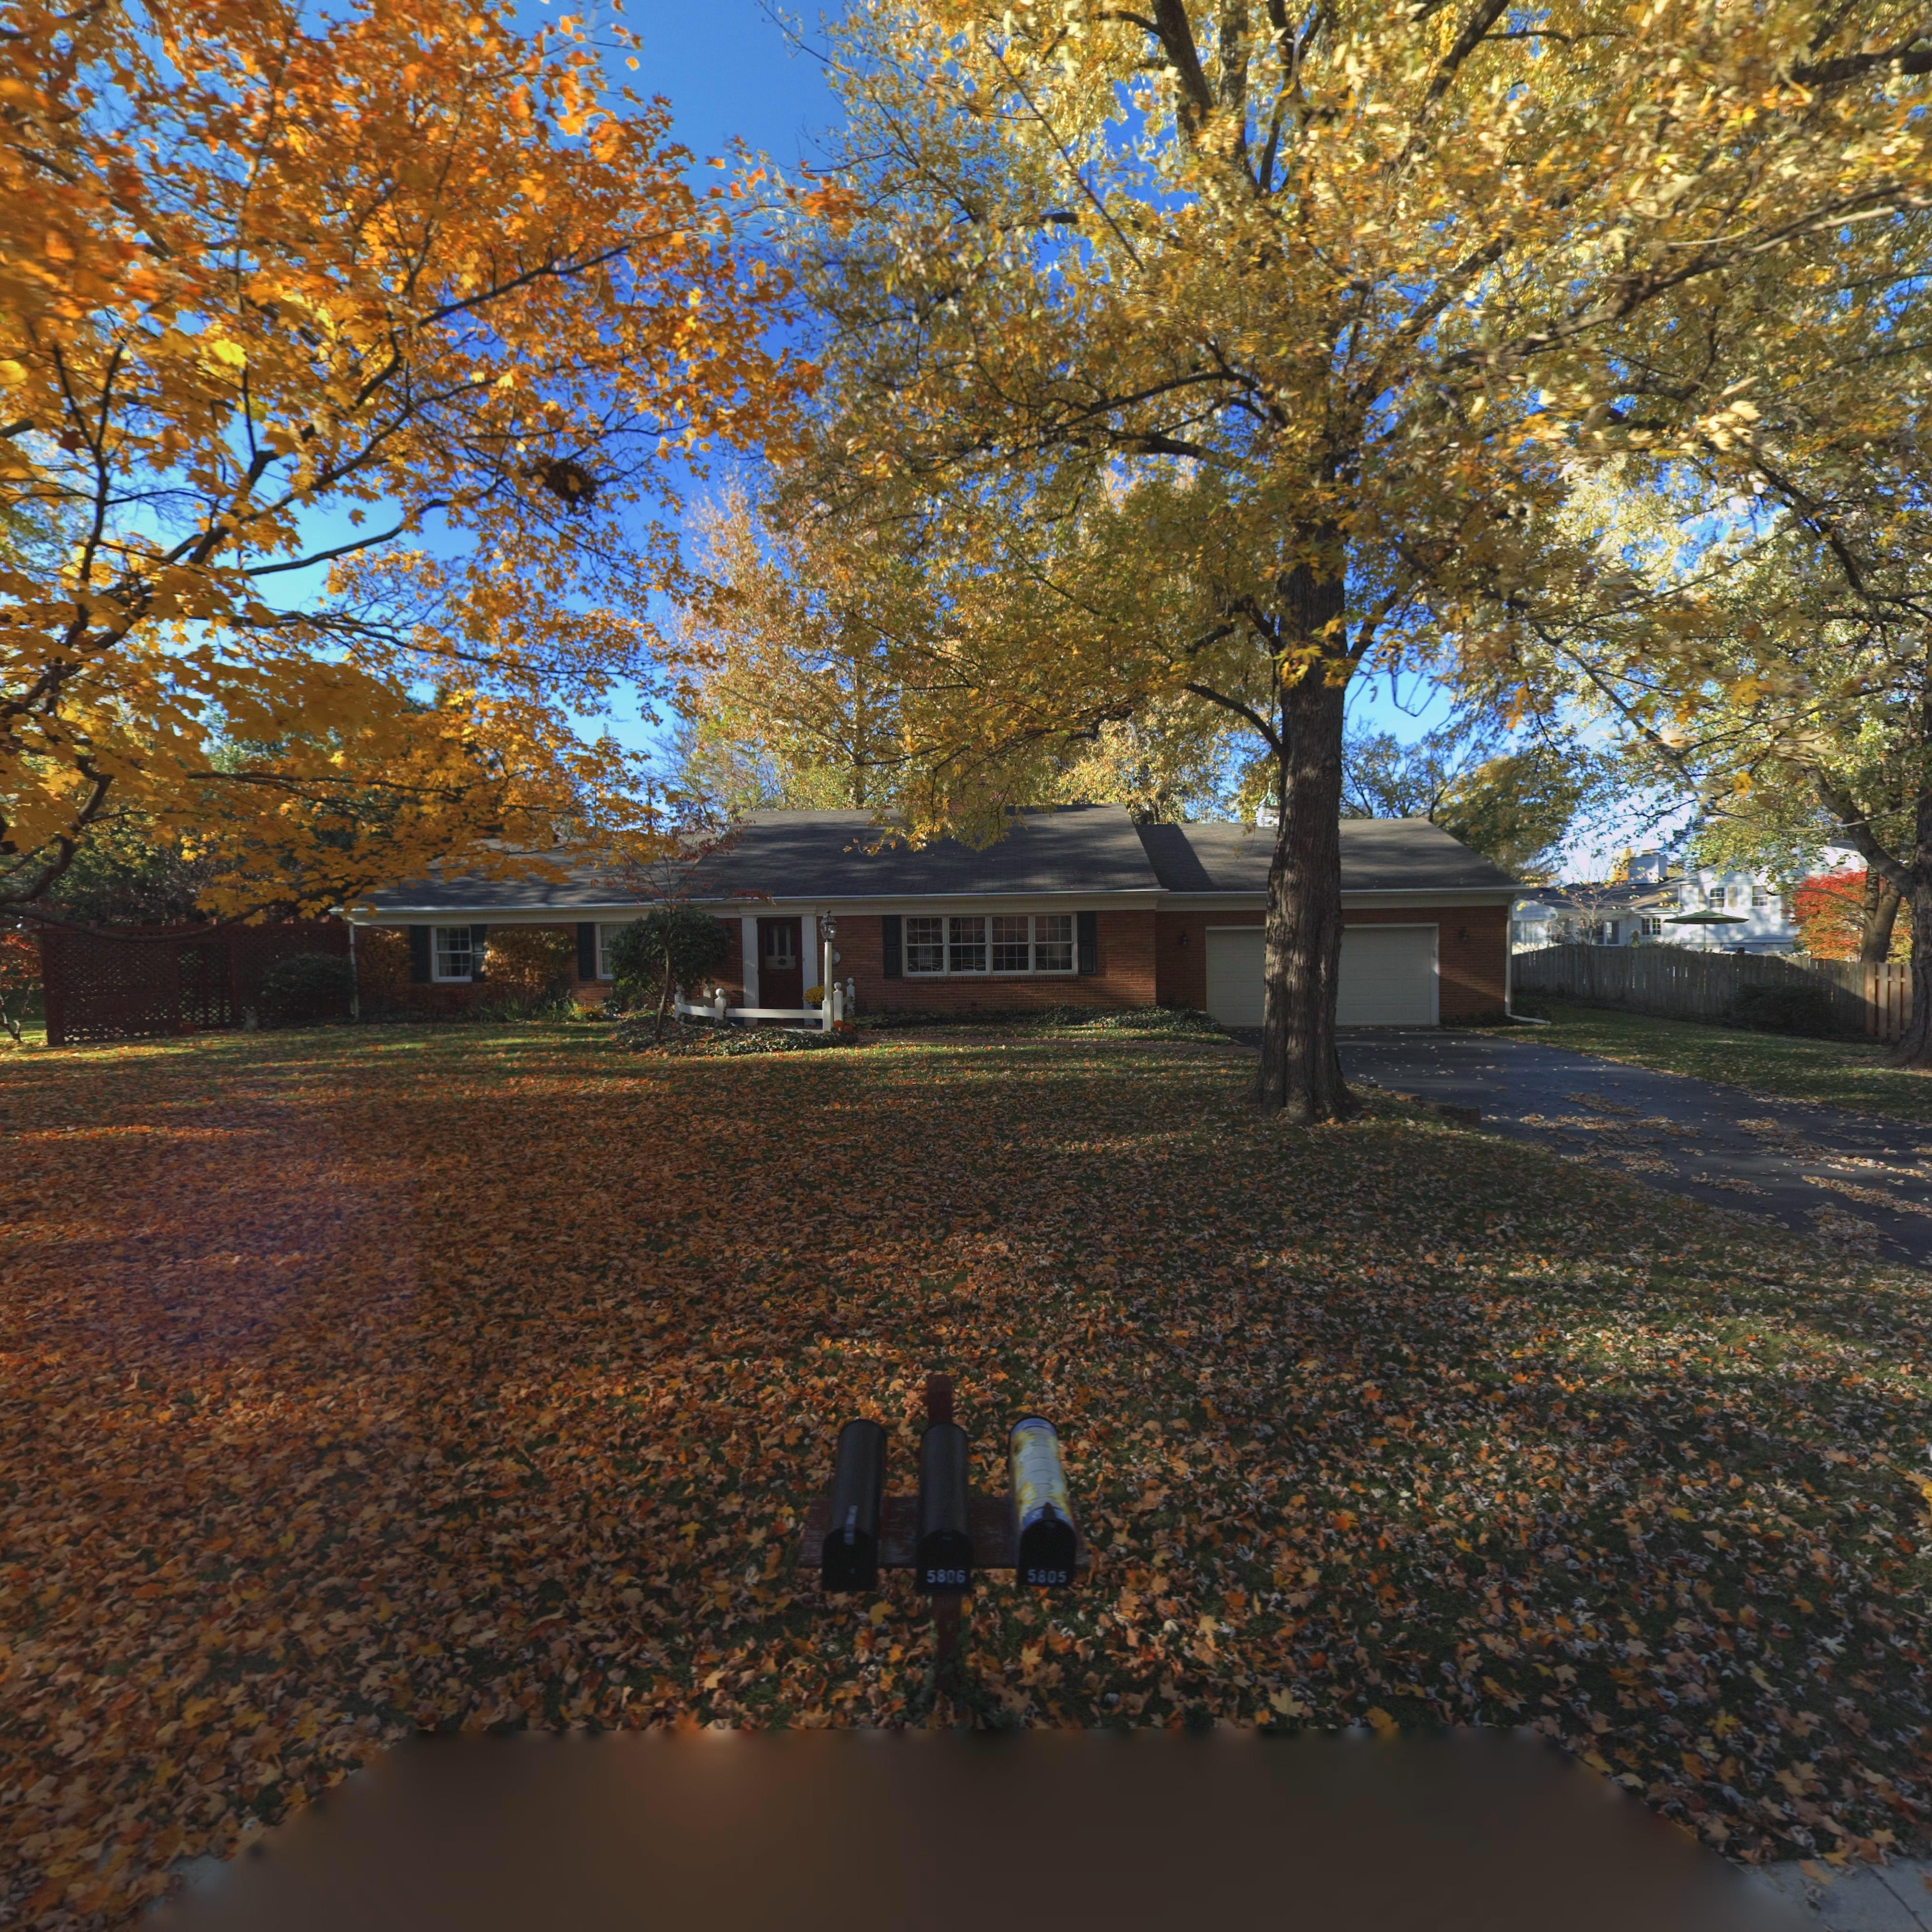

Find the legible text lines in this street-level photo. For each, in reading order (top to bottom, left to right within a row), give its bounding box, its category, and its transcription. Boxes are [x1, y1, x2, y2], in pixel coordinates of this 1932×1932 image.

[925, 1567, 966, 1584] StreetNumber: 5806
[1026, 1567, 1068, 1585] StreetNumber: 5805